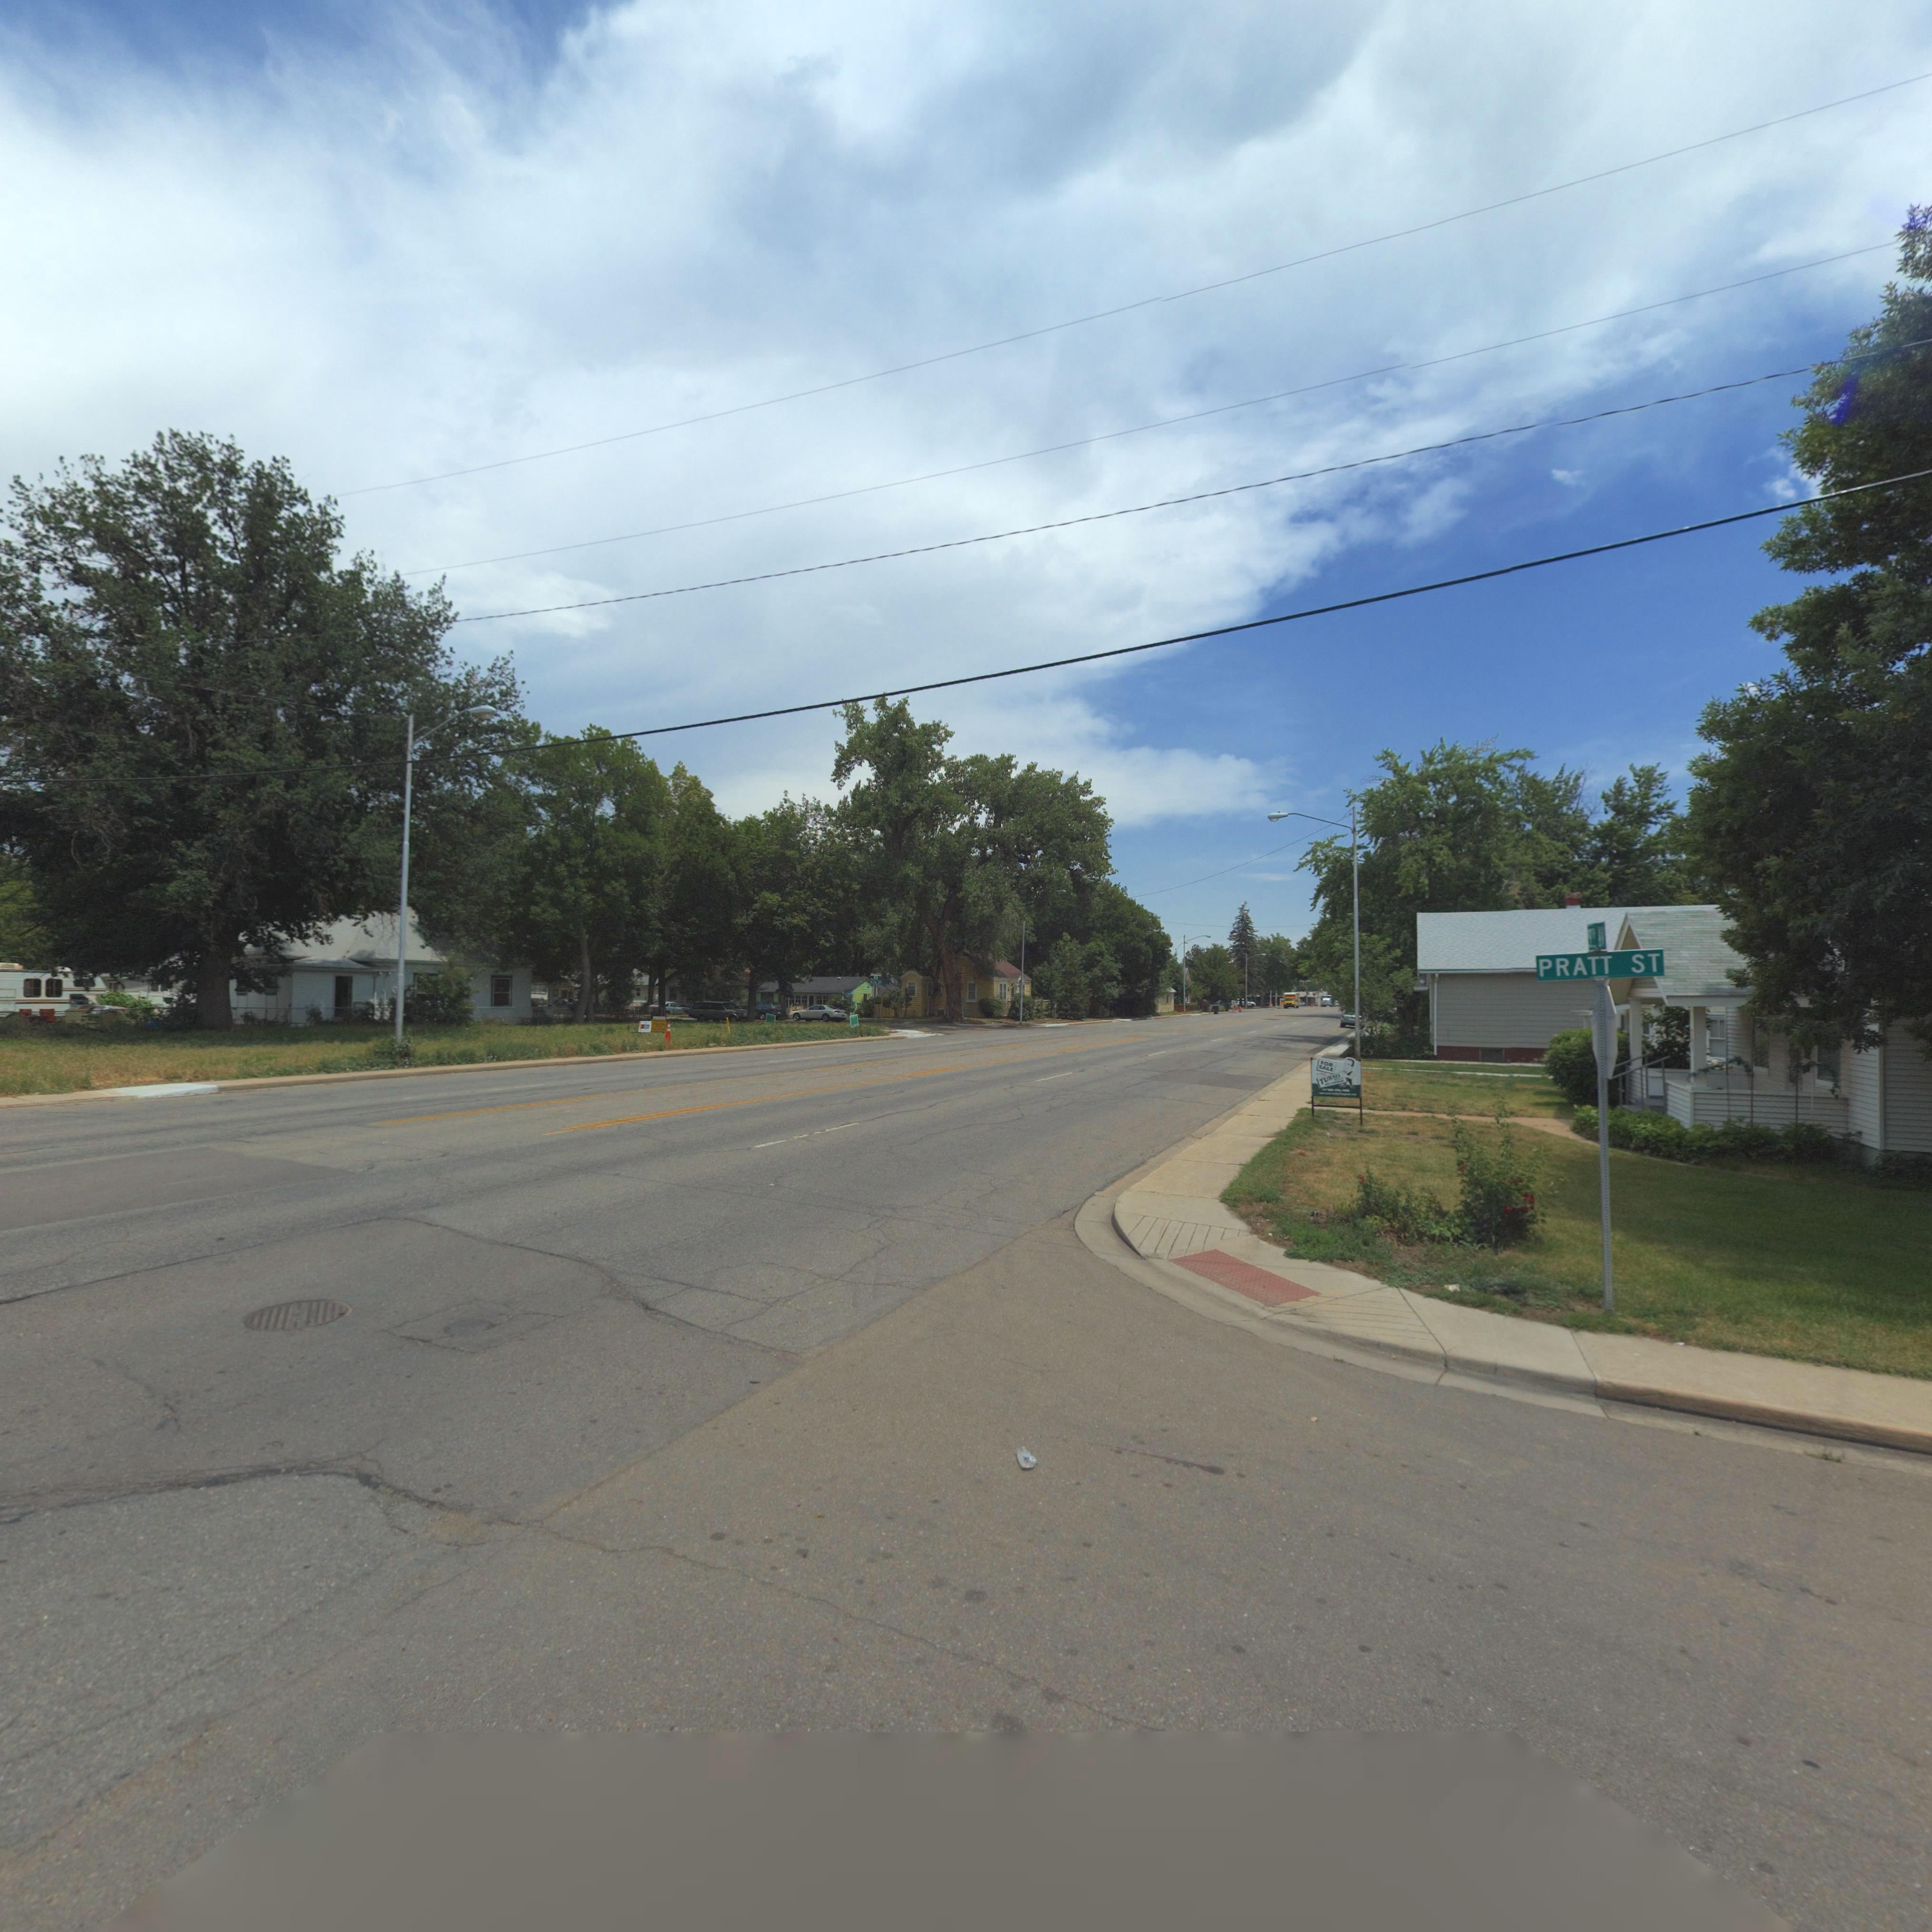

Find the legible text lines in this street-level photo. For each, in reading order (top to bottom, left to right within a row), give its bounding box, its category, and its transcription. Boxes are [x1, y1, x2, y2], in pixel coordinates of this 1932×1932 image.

[1586, 925, 1605, 948] StreetName: *** AV
[1538, 953, 1660, 977] StreetName: PRATT ST